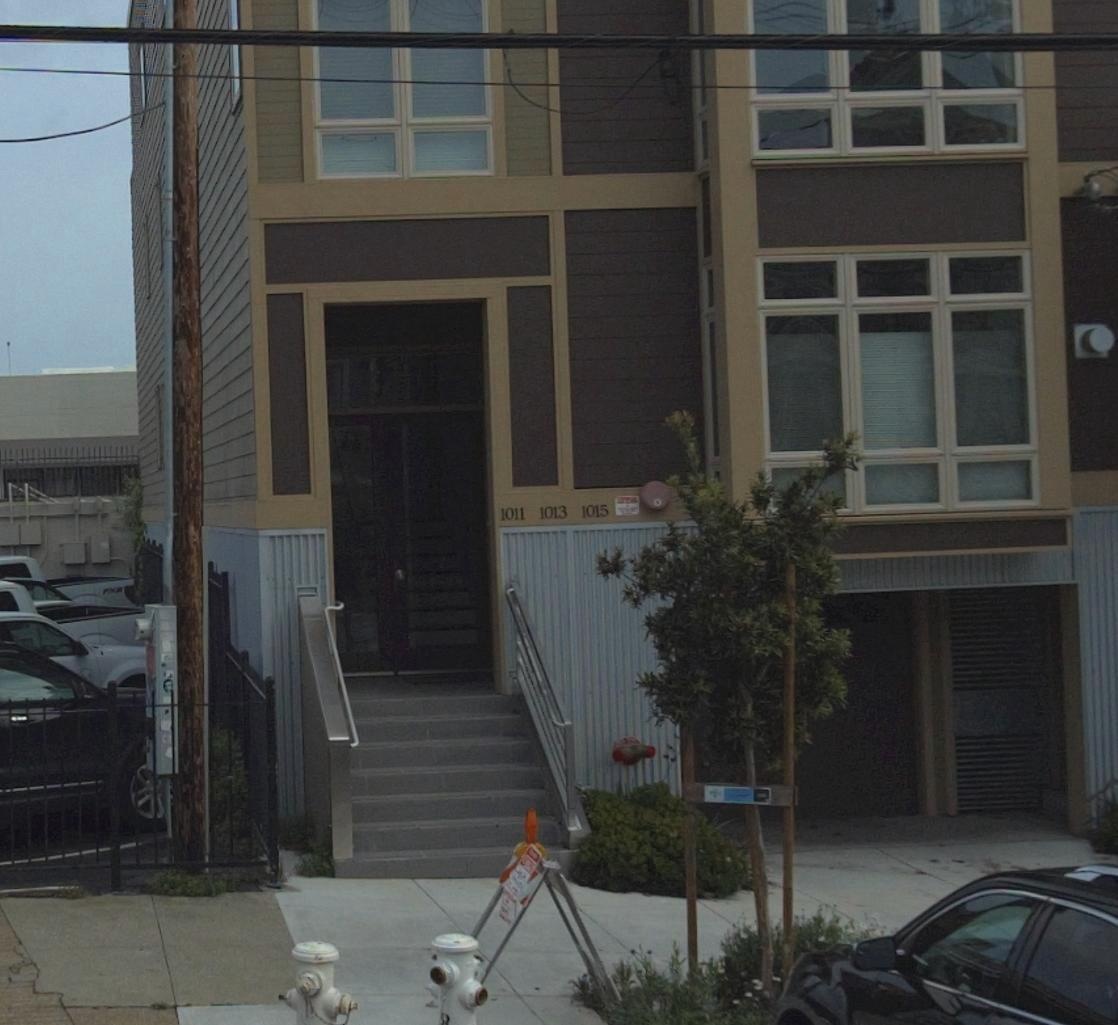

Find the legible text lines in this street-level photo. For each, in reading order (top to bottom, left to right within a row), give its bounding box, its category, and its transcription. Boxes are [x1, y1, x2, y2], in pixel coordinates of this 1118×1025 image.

[498, 506, 526, 522] StreetNumber: 1011
[538, 503, 569, 520] StreetNumber: 1013
[581, 503, 610, 519] StreetNumber: 1015